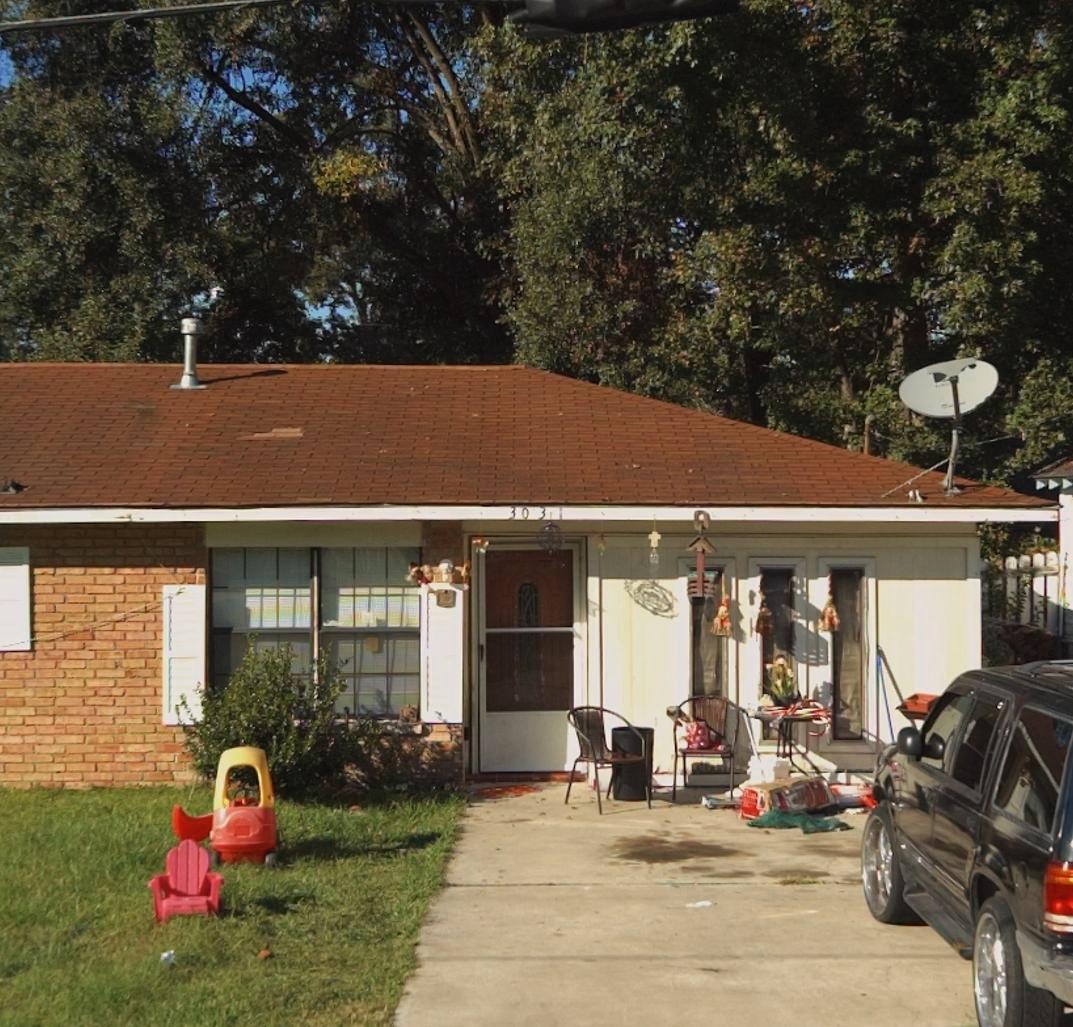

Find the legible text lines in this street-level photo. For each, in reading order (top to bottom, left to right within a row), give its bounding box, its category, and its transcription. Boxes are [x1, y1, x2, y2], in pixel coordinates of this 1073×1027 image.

[509, 505, 564, 521] StreetNumber: 3031